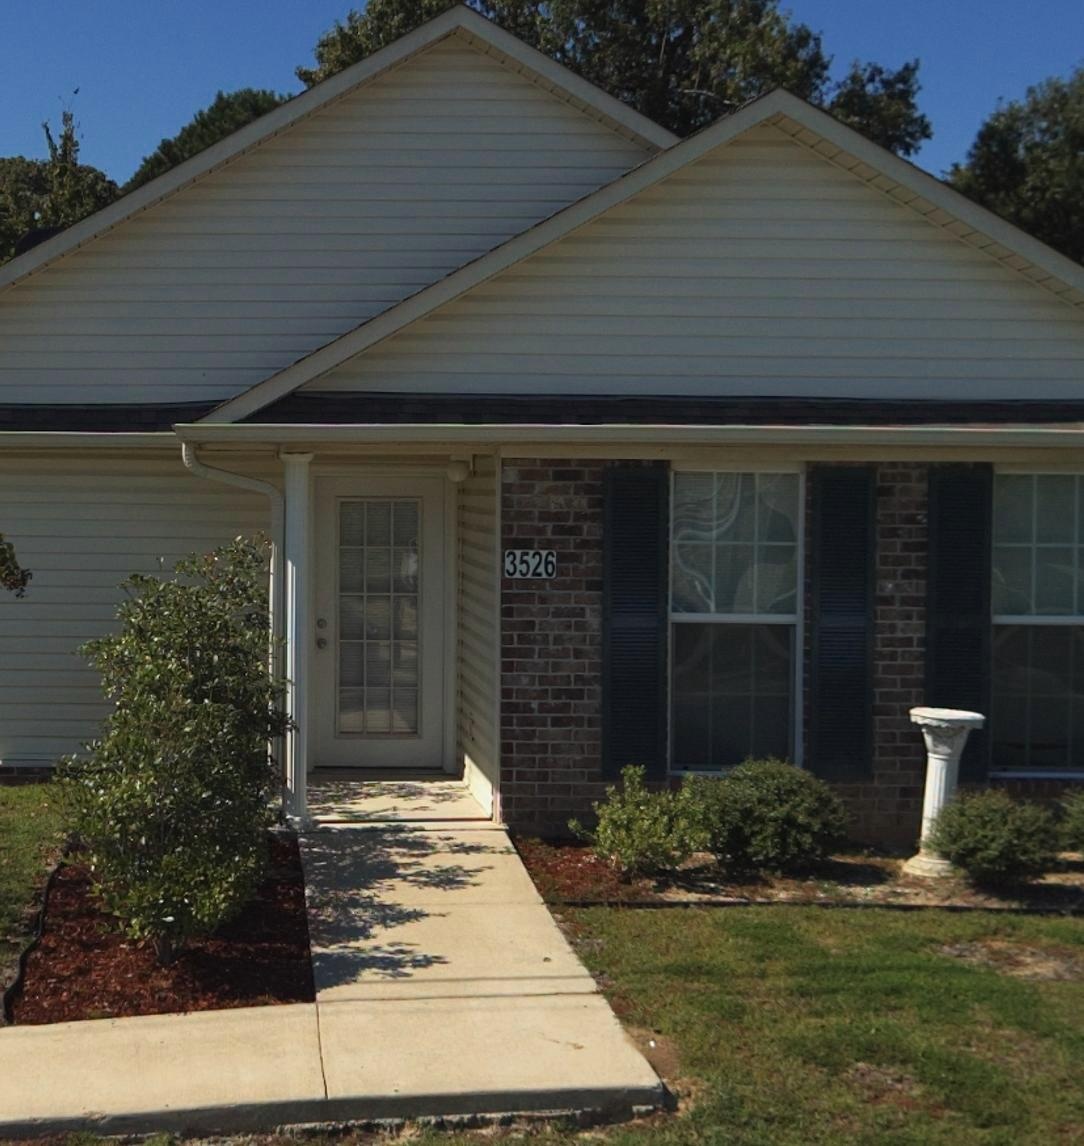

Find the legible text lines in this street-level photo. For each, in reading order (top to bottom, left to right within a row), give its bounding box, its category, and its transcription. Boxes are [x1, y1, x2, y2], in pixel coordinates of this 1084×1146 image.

[505, 550, 556, 578] StreetNumber: 3526